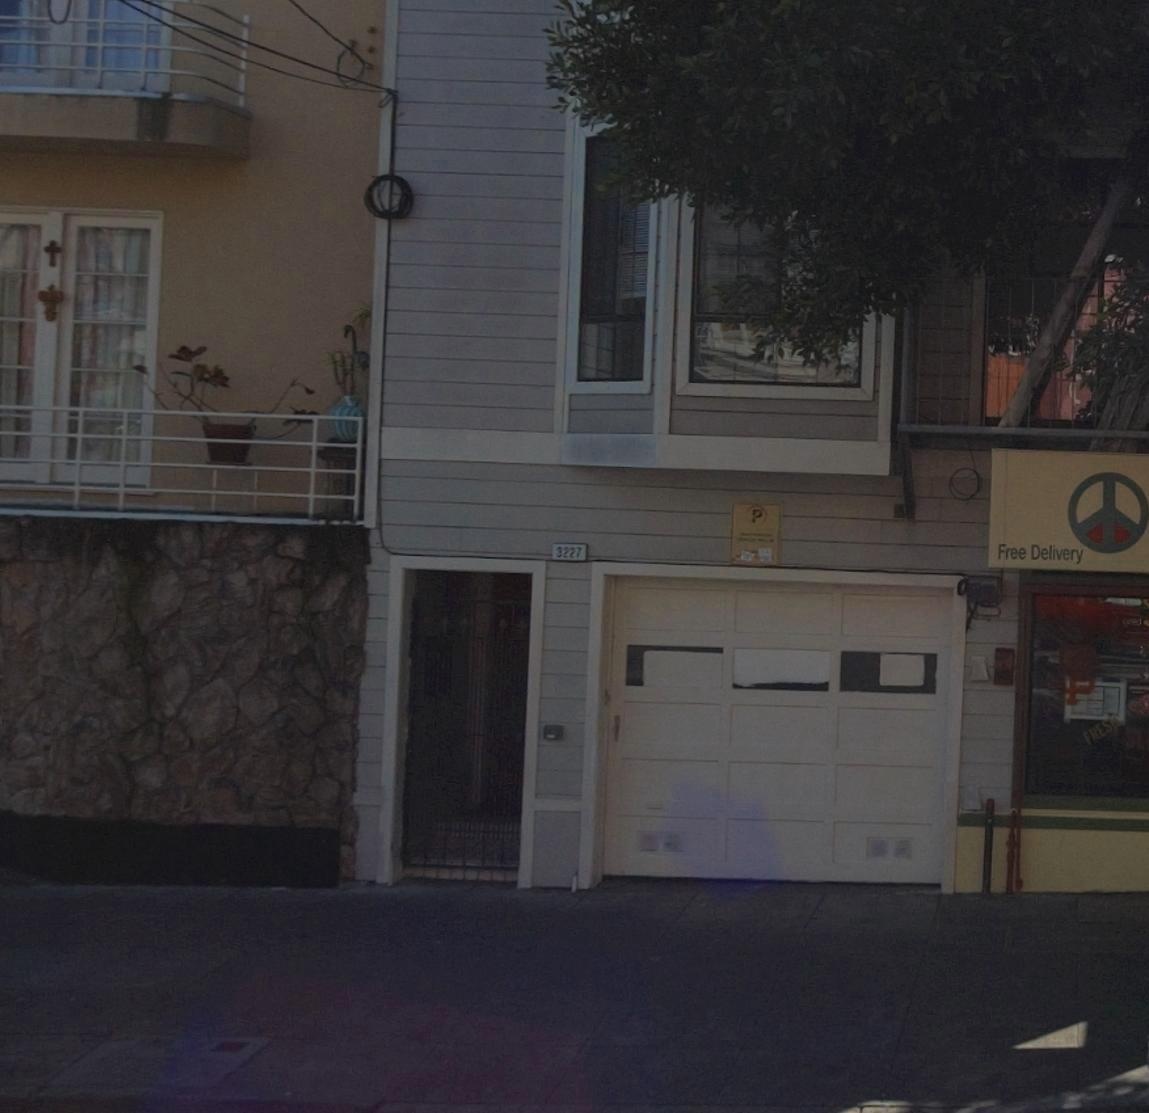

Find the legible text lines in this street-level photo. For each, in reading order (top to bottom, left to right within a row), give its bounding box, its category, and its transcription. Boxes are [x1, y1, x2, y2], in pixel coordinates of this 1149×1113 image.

[555, 545, 582, 559] StreetNumber: 3227
[996, 542, 1085, 566] None: Free Delivery